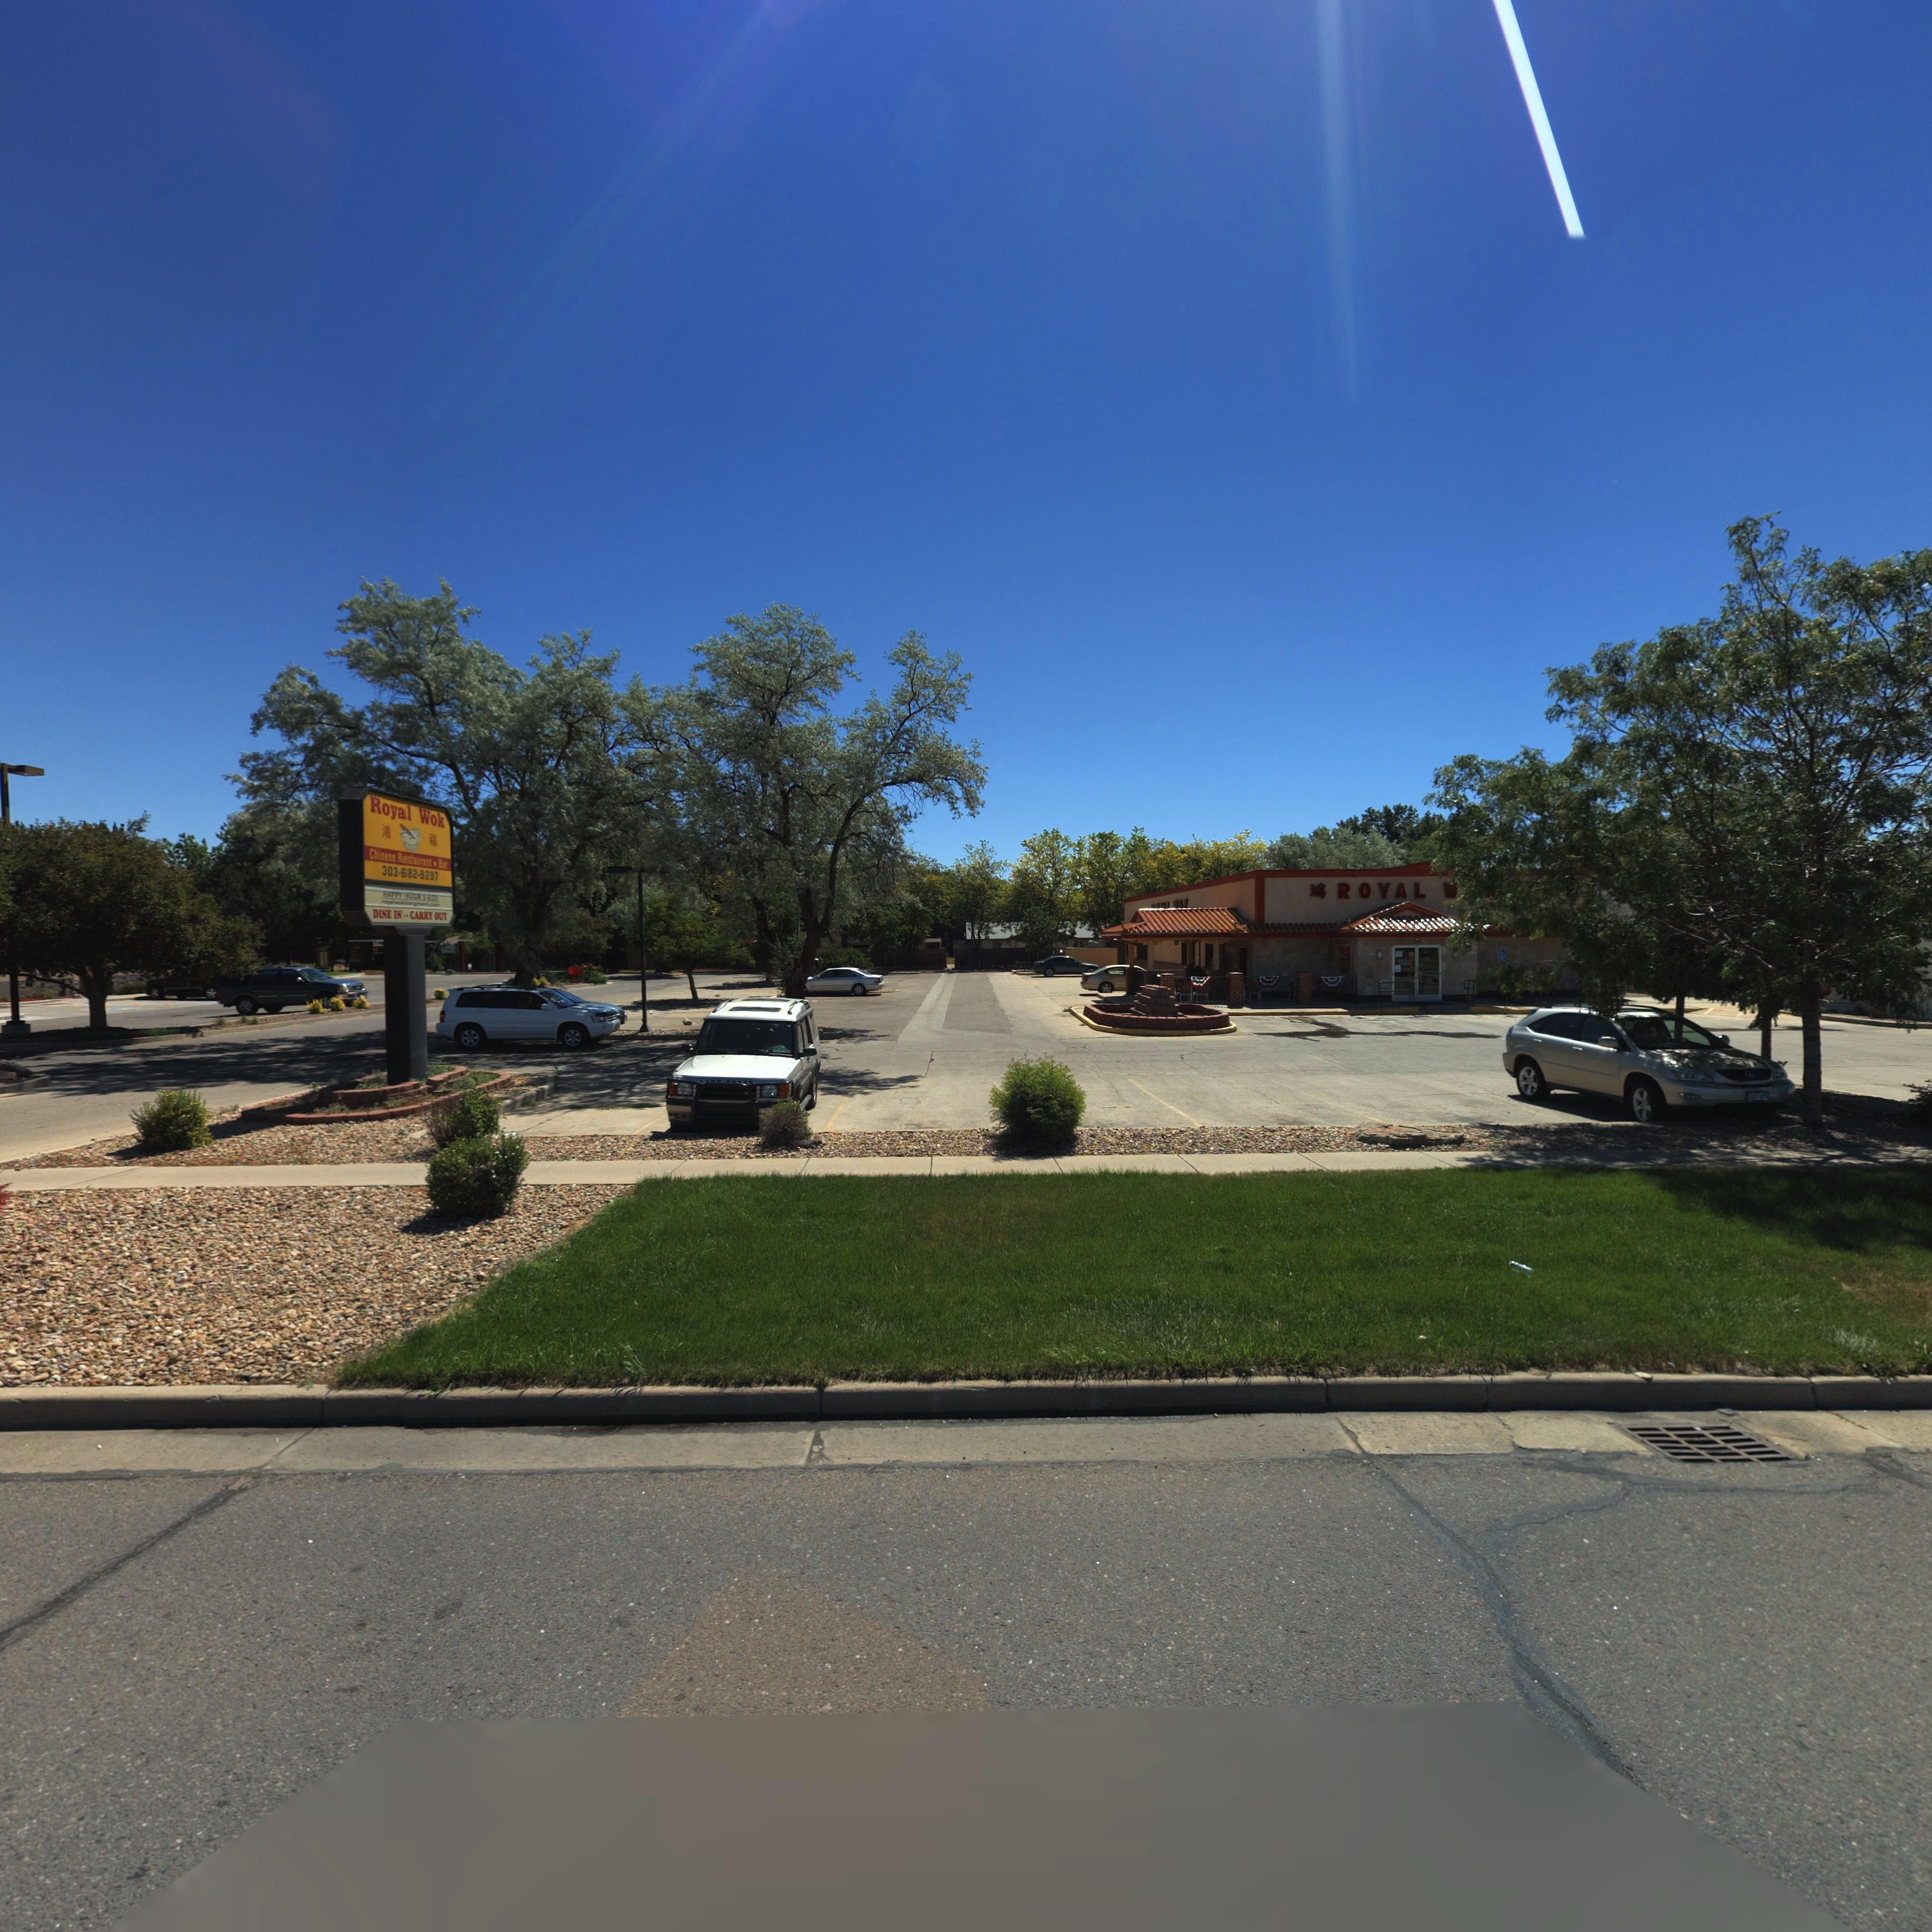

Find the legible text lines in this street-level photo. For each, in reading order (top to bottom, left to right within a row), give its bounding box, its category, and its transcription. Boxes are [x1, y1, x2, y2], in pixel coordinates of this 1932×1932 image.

[369, 794, 445, 829] BusinessName: Royal Wok
[1337, 881, 1426, 899] BusinessName: ROYAL